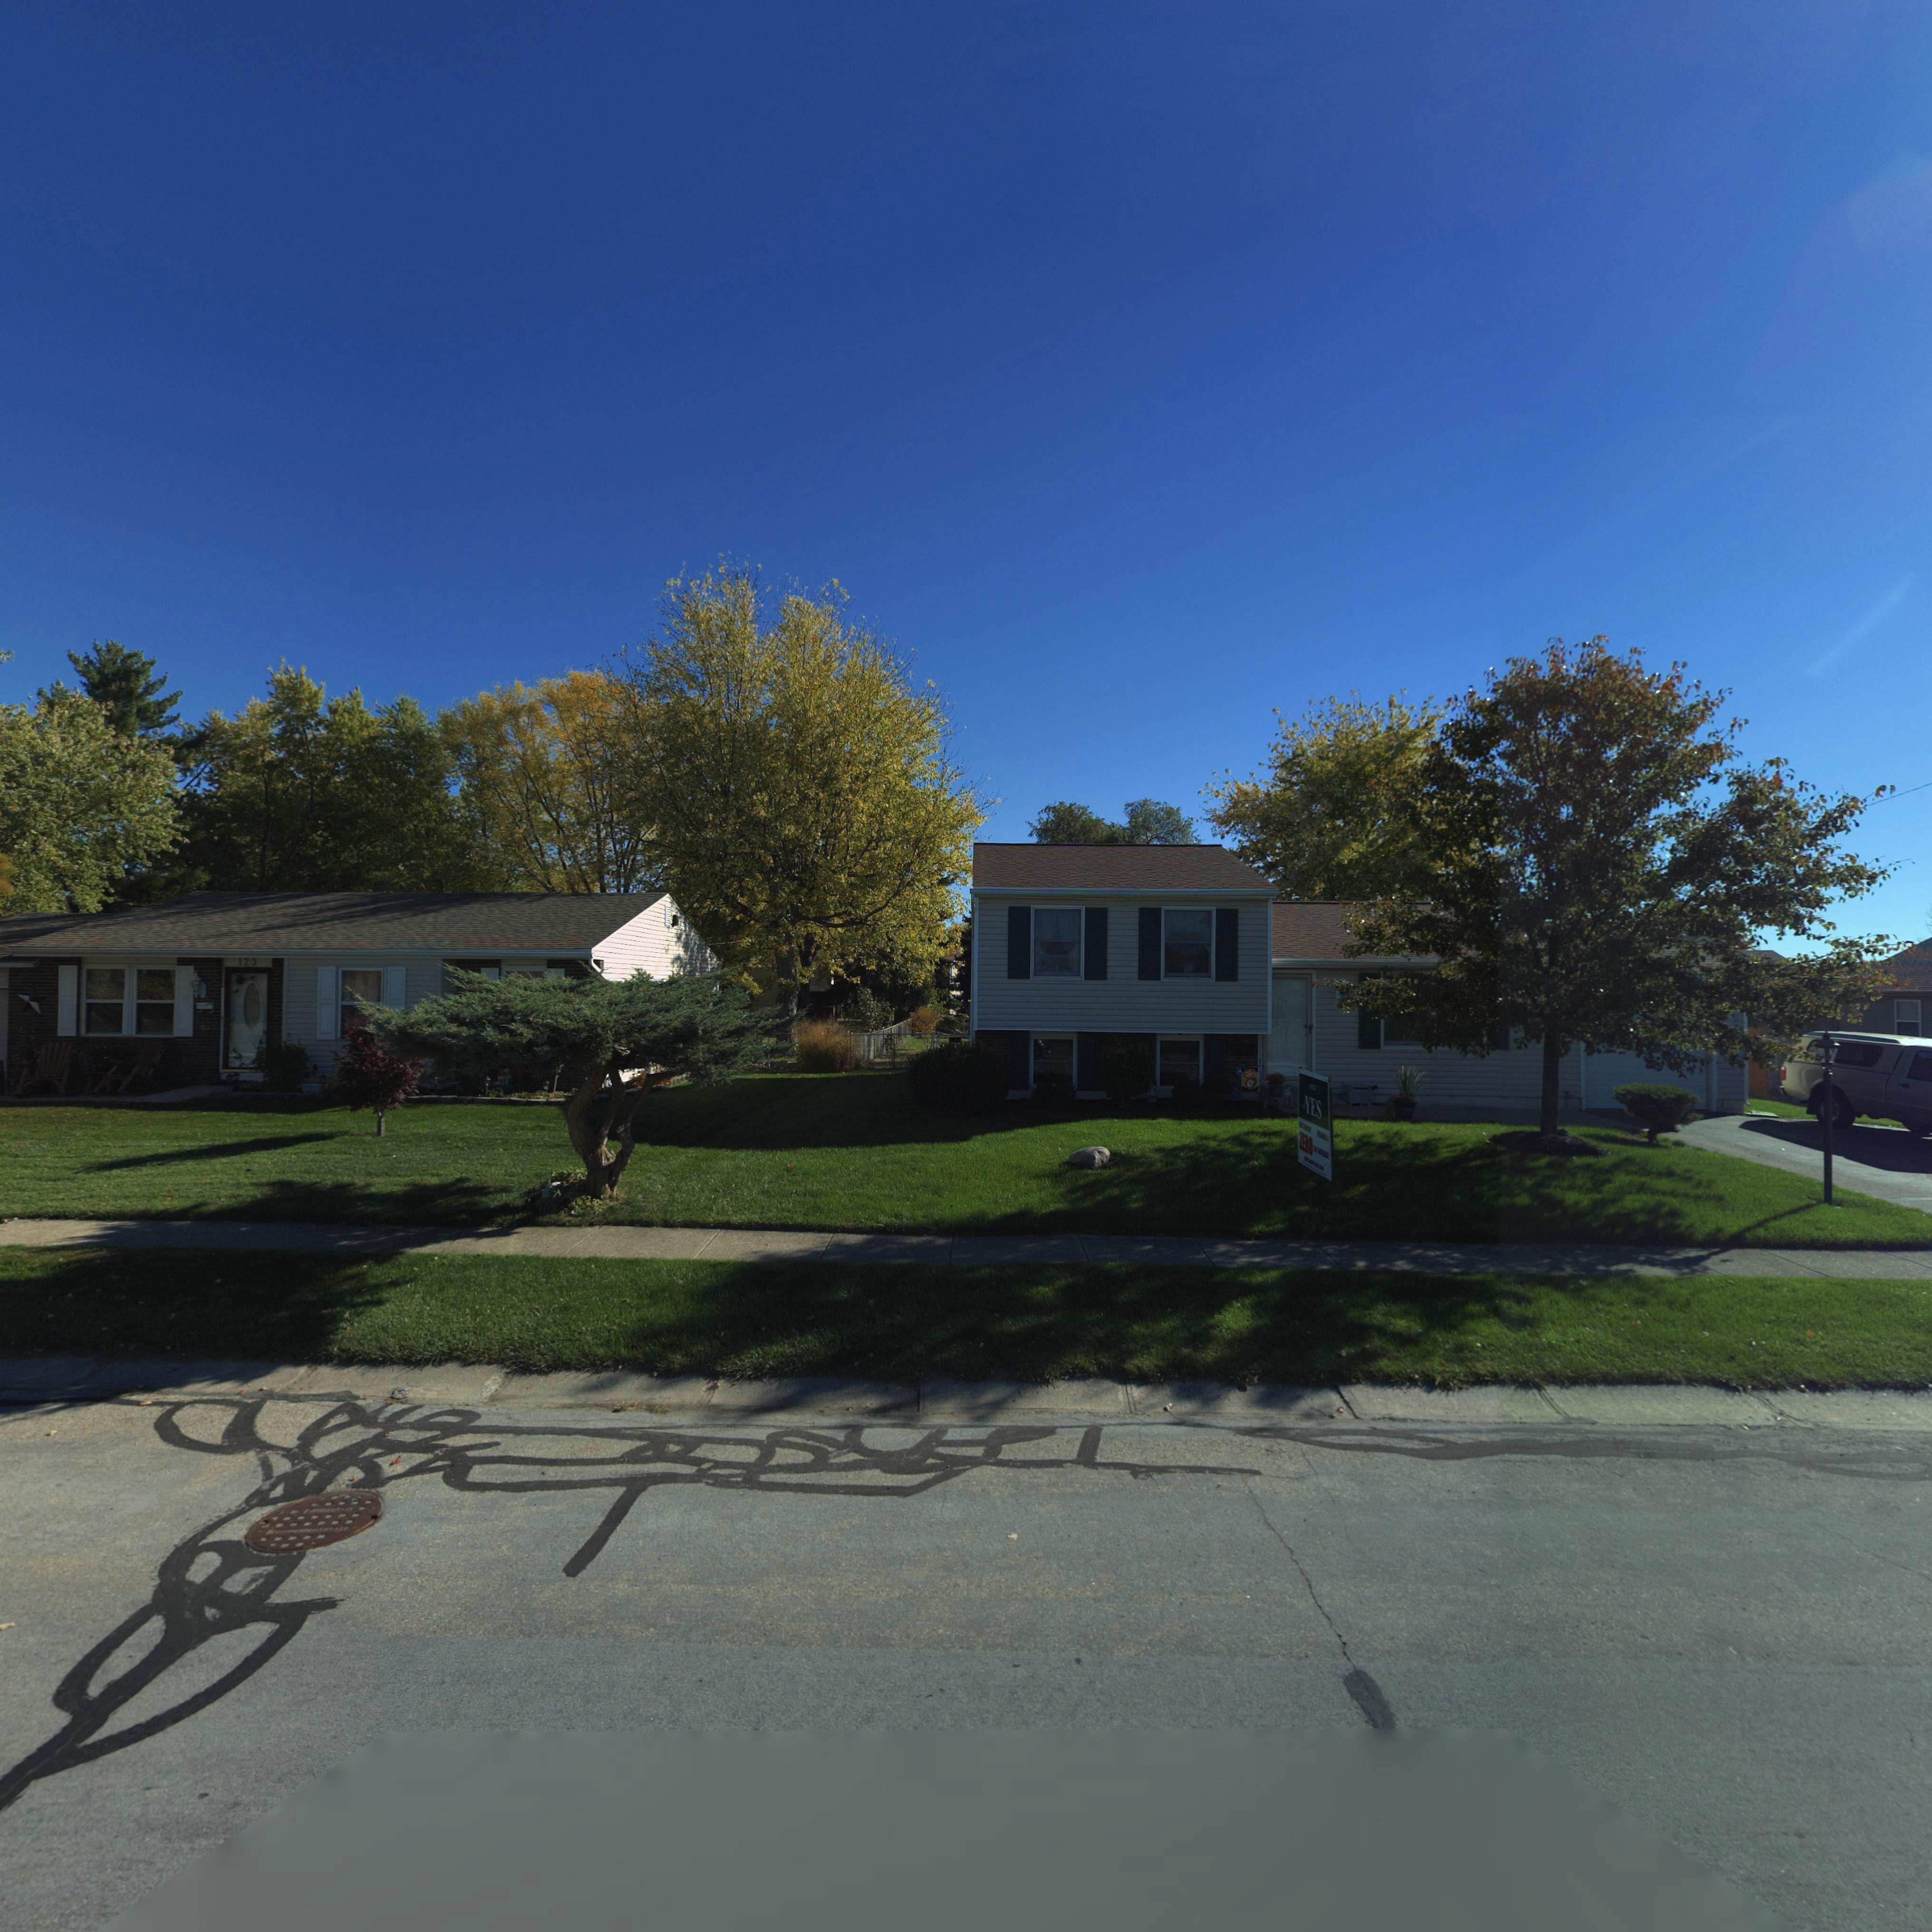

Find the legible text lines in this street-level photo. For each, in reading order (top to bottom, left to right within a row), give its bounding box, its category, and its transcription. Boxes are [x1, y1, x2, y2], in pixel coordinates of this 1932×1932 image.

[237, 957, 257, 966] StreetNumber: 123
[1304, 1093, 1323, 1121] None: YES
[1298, 1130, 1314, 1158] None: ZERO